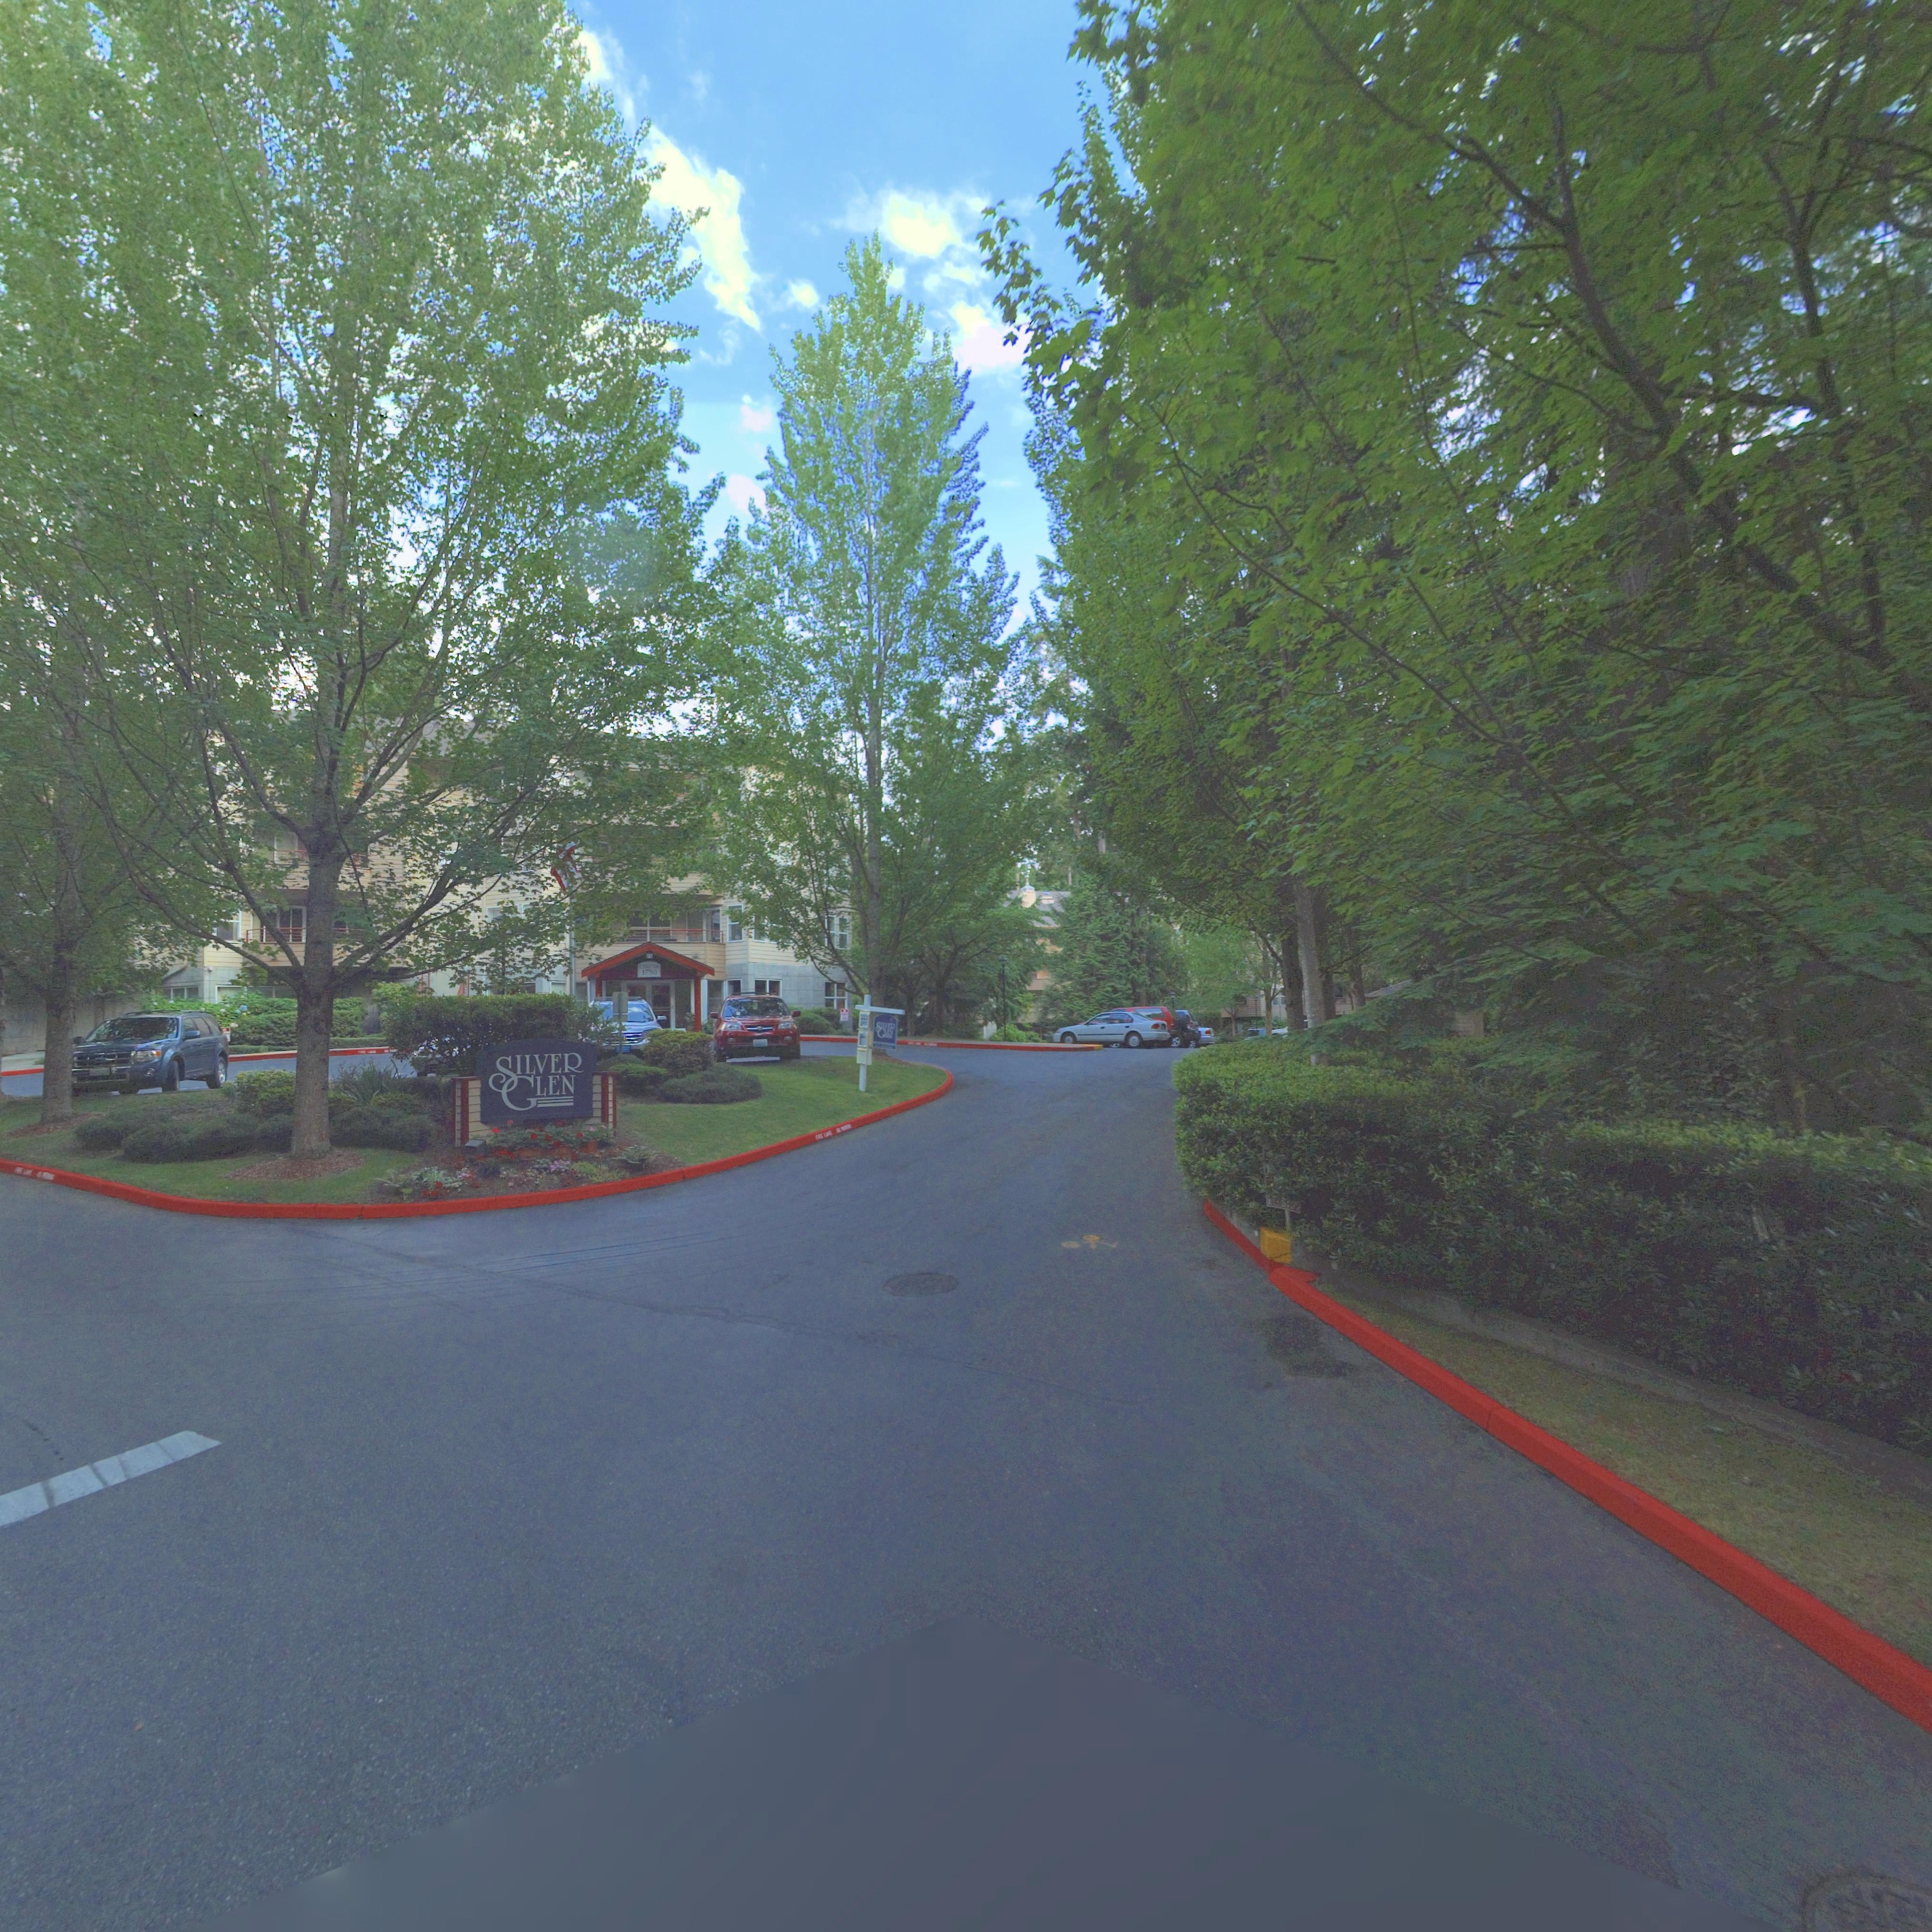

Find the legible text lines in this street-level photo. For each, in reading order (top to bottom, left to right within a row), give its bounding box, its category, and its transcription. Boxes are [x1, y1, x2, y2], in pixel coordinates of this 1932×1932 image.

[638, 963, 659, 969] StreetNumberRange: CENTER
[641, 969, 657, 975] StreetNumber: 1750
[485, 1051, 586, 1094] BusinessName: SILVER
[496, 1072, 576, 1111] BusinessName: GLEN